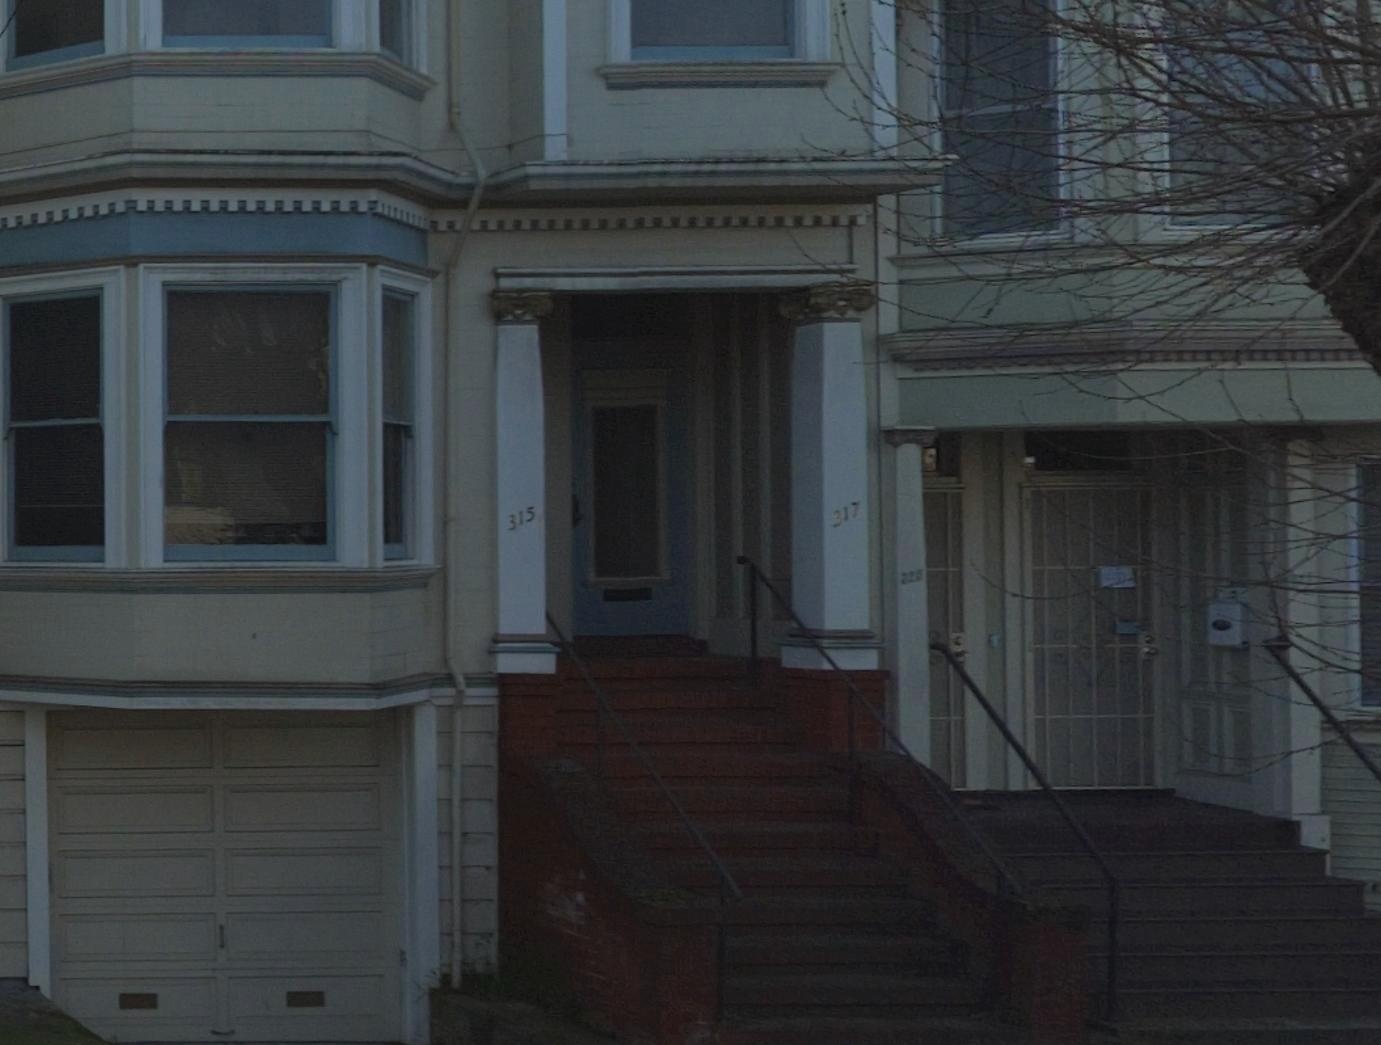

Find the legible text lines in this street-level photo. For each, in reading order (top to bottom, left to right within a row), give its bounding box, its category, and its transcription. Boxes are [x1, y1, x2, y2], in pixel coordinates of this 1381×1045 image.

[504, 500, 538, 536] StreetNumber: 315
[829, 497, 864, 533] StreetNumber: 317
[898, 565, 928, 588] StreetNumber: 225